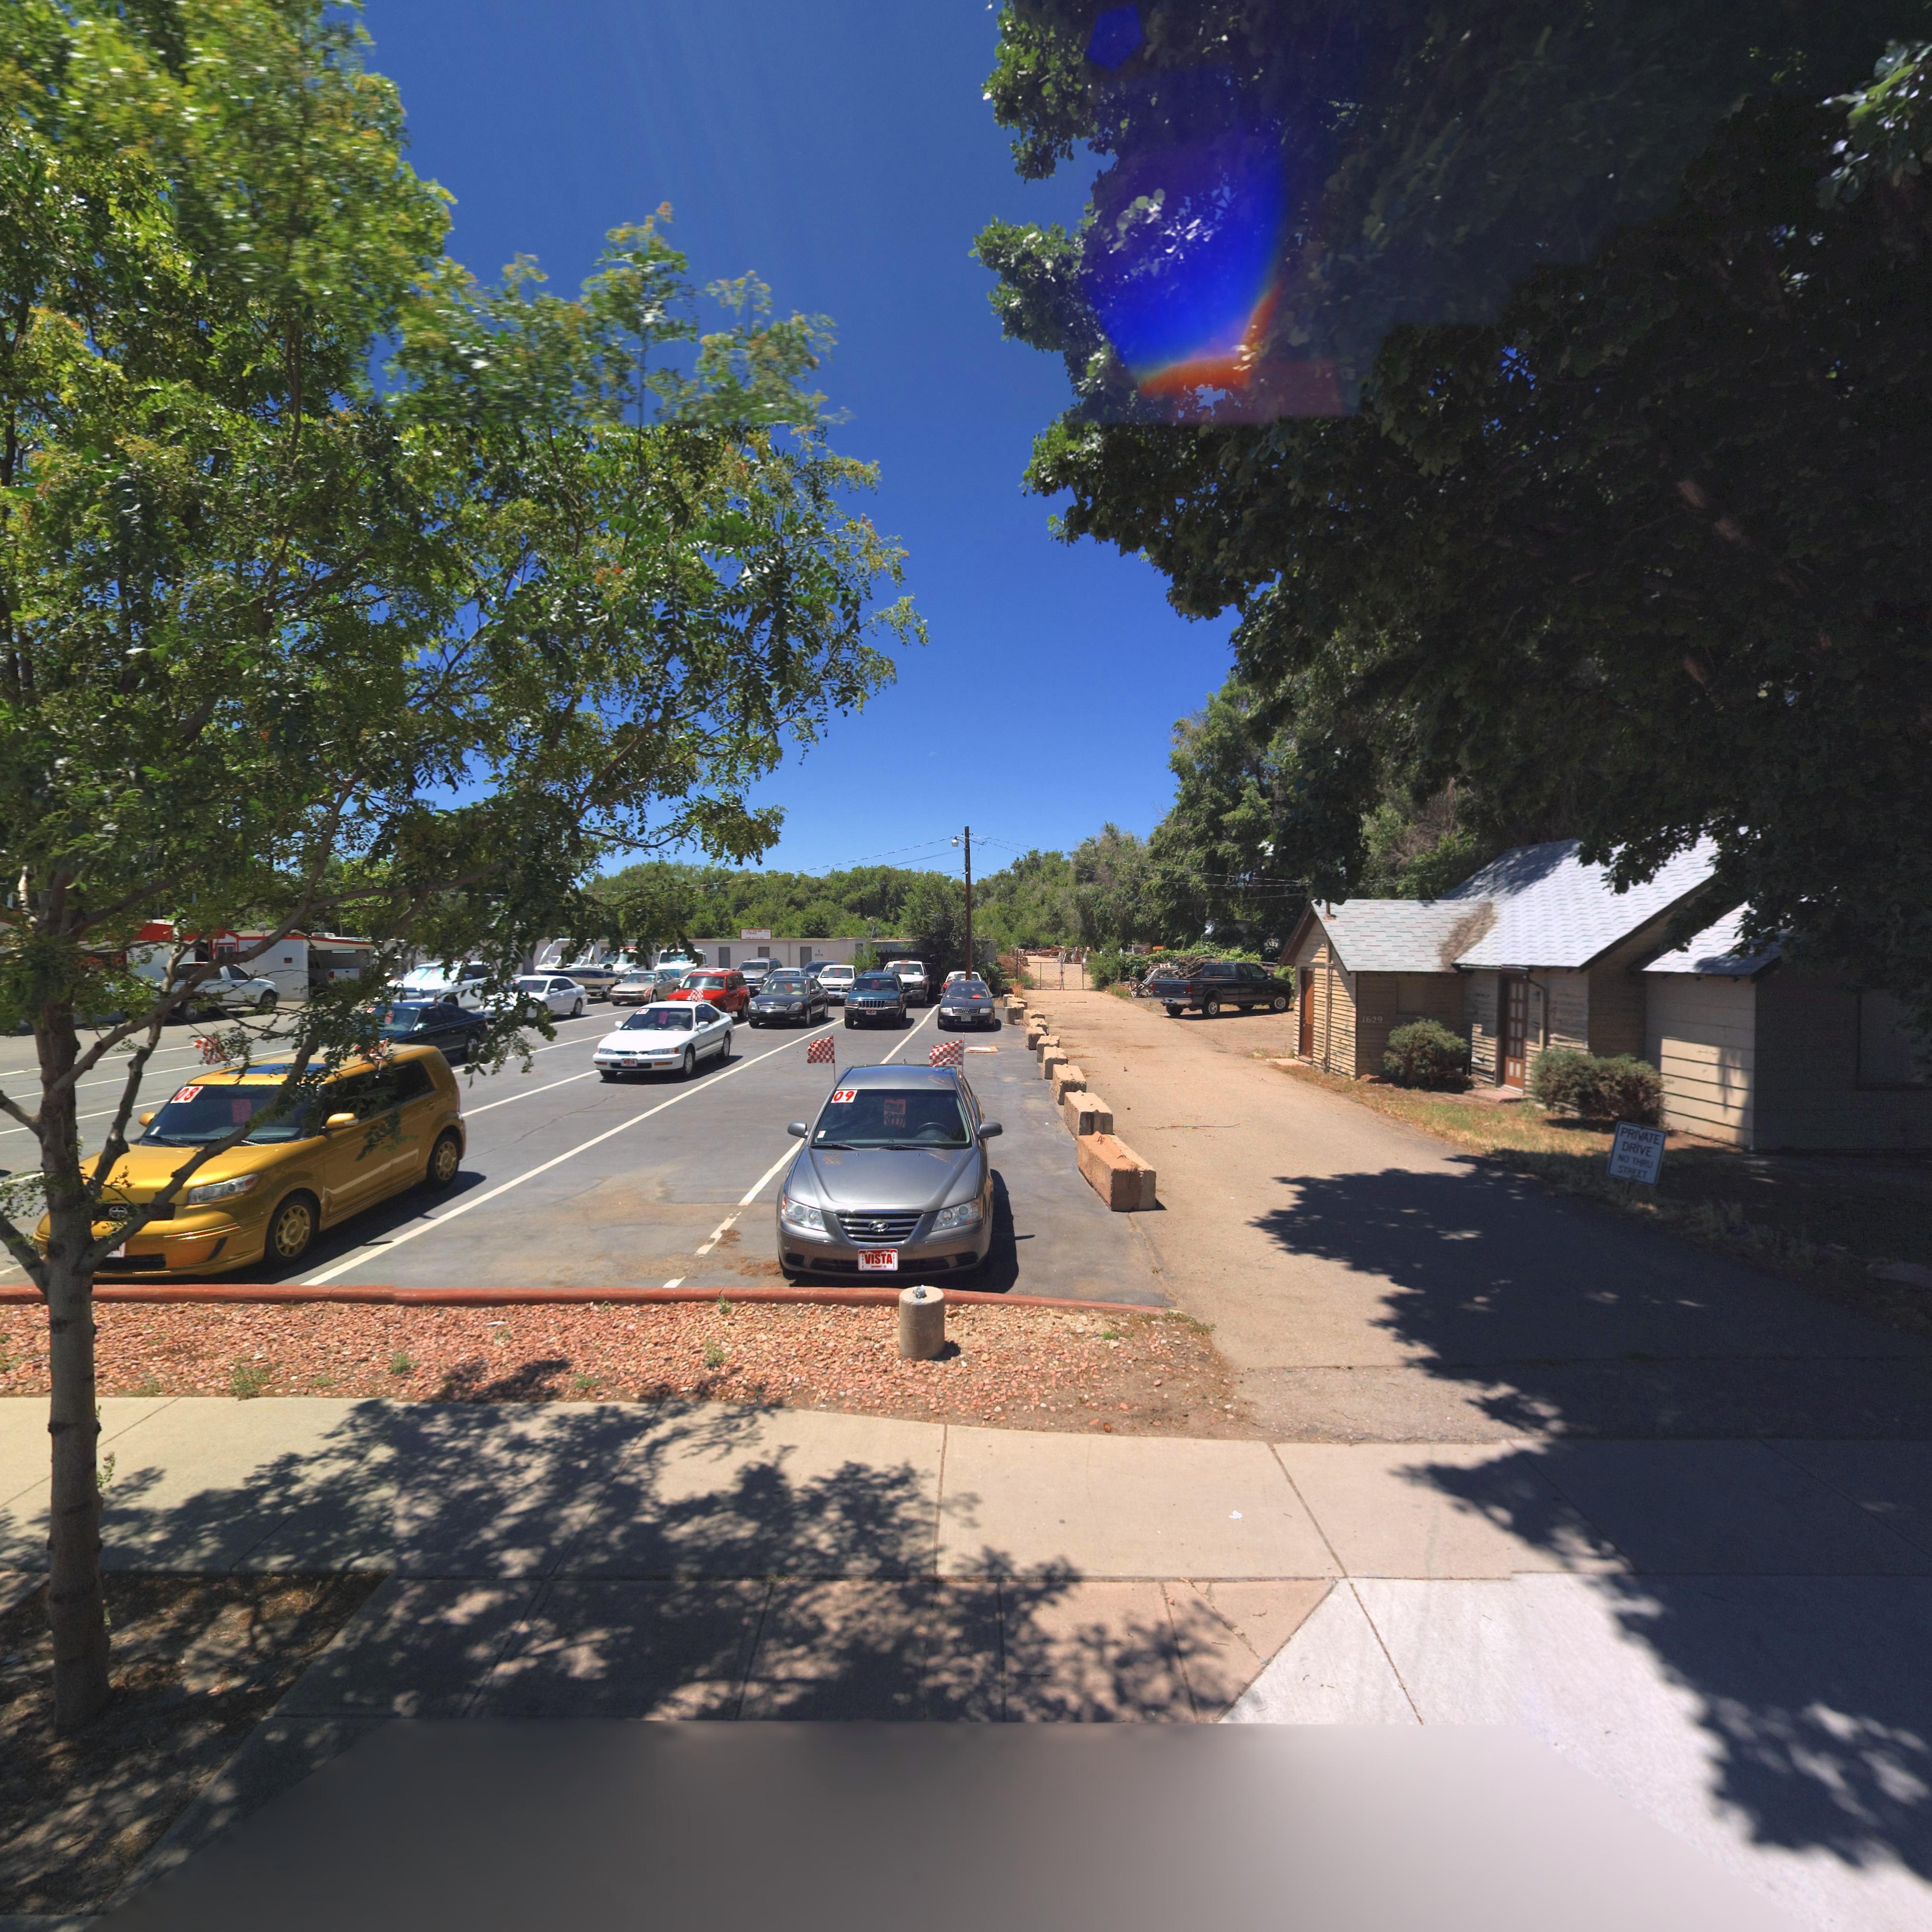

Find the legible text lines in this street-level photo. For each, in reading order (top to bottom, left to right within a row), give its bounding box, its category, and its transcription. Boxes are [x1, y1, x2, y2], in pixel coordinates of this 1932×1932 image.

[1361, 1014, 1383, 1024] StreetNumber: 1629